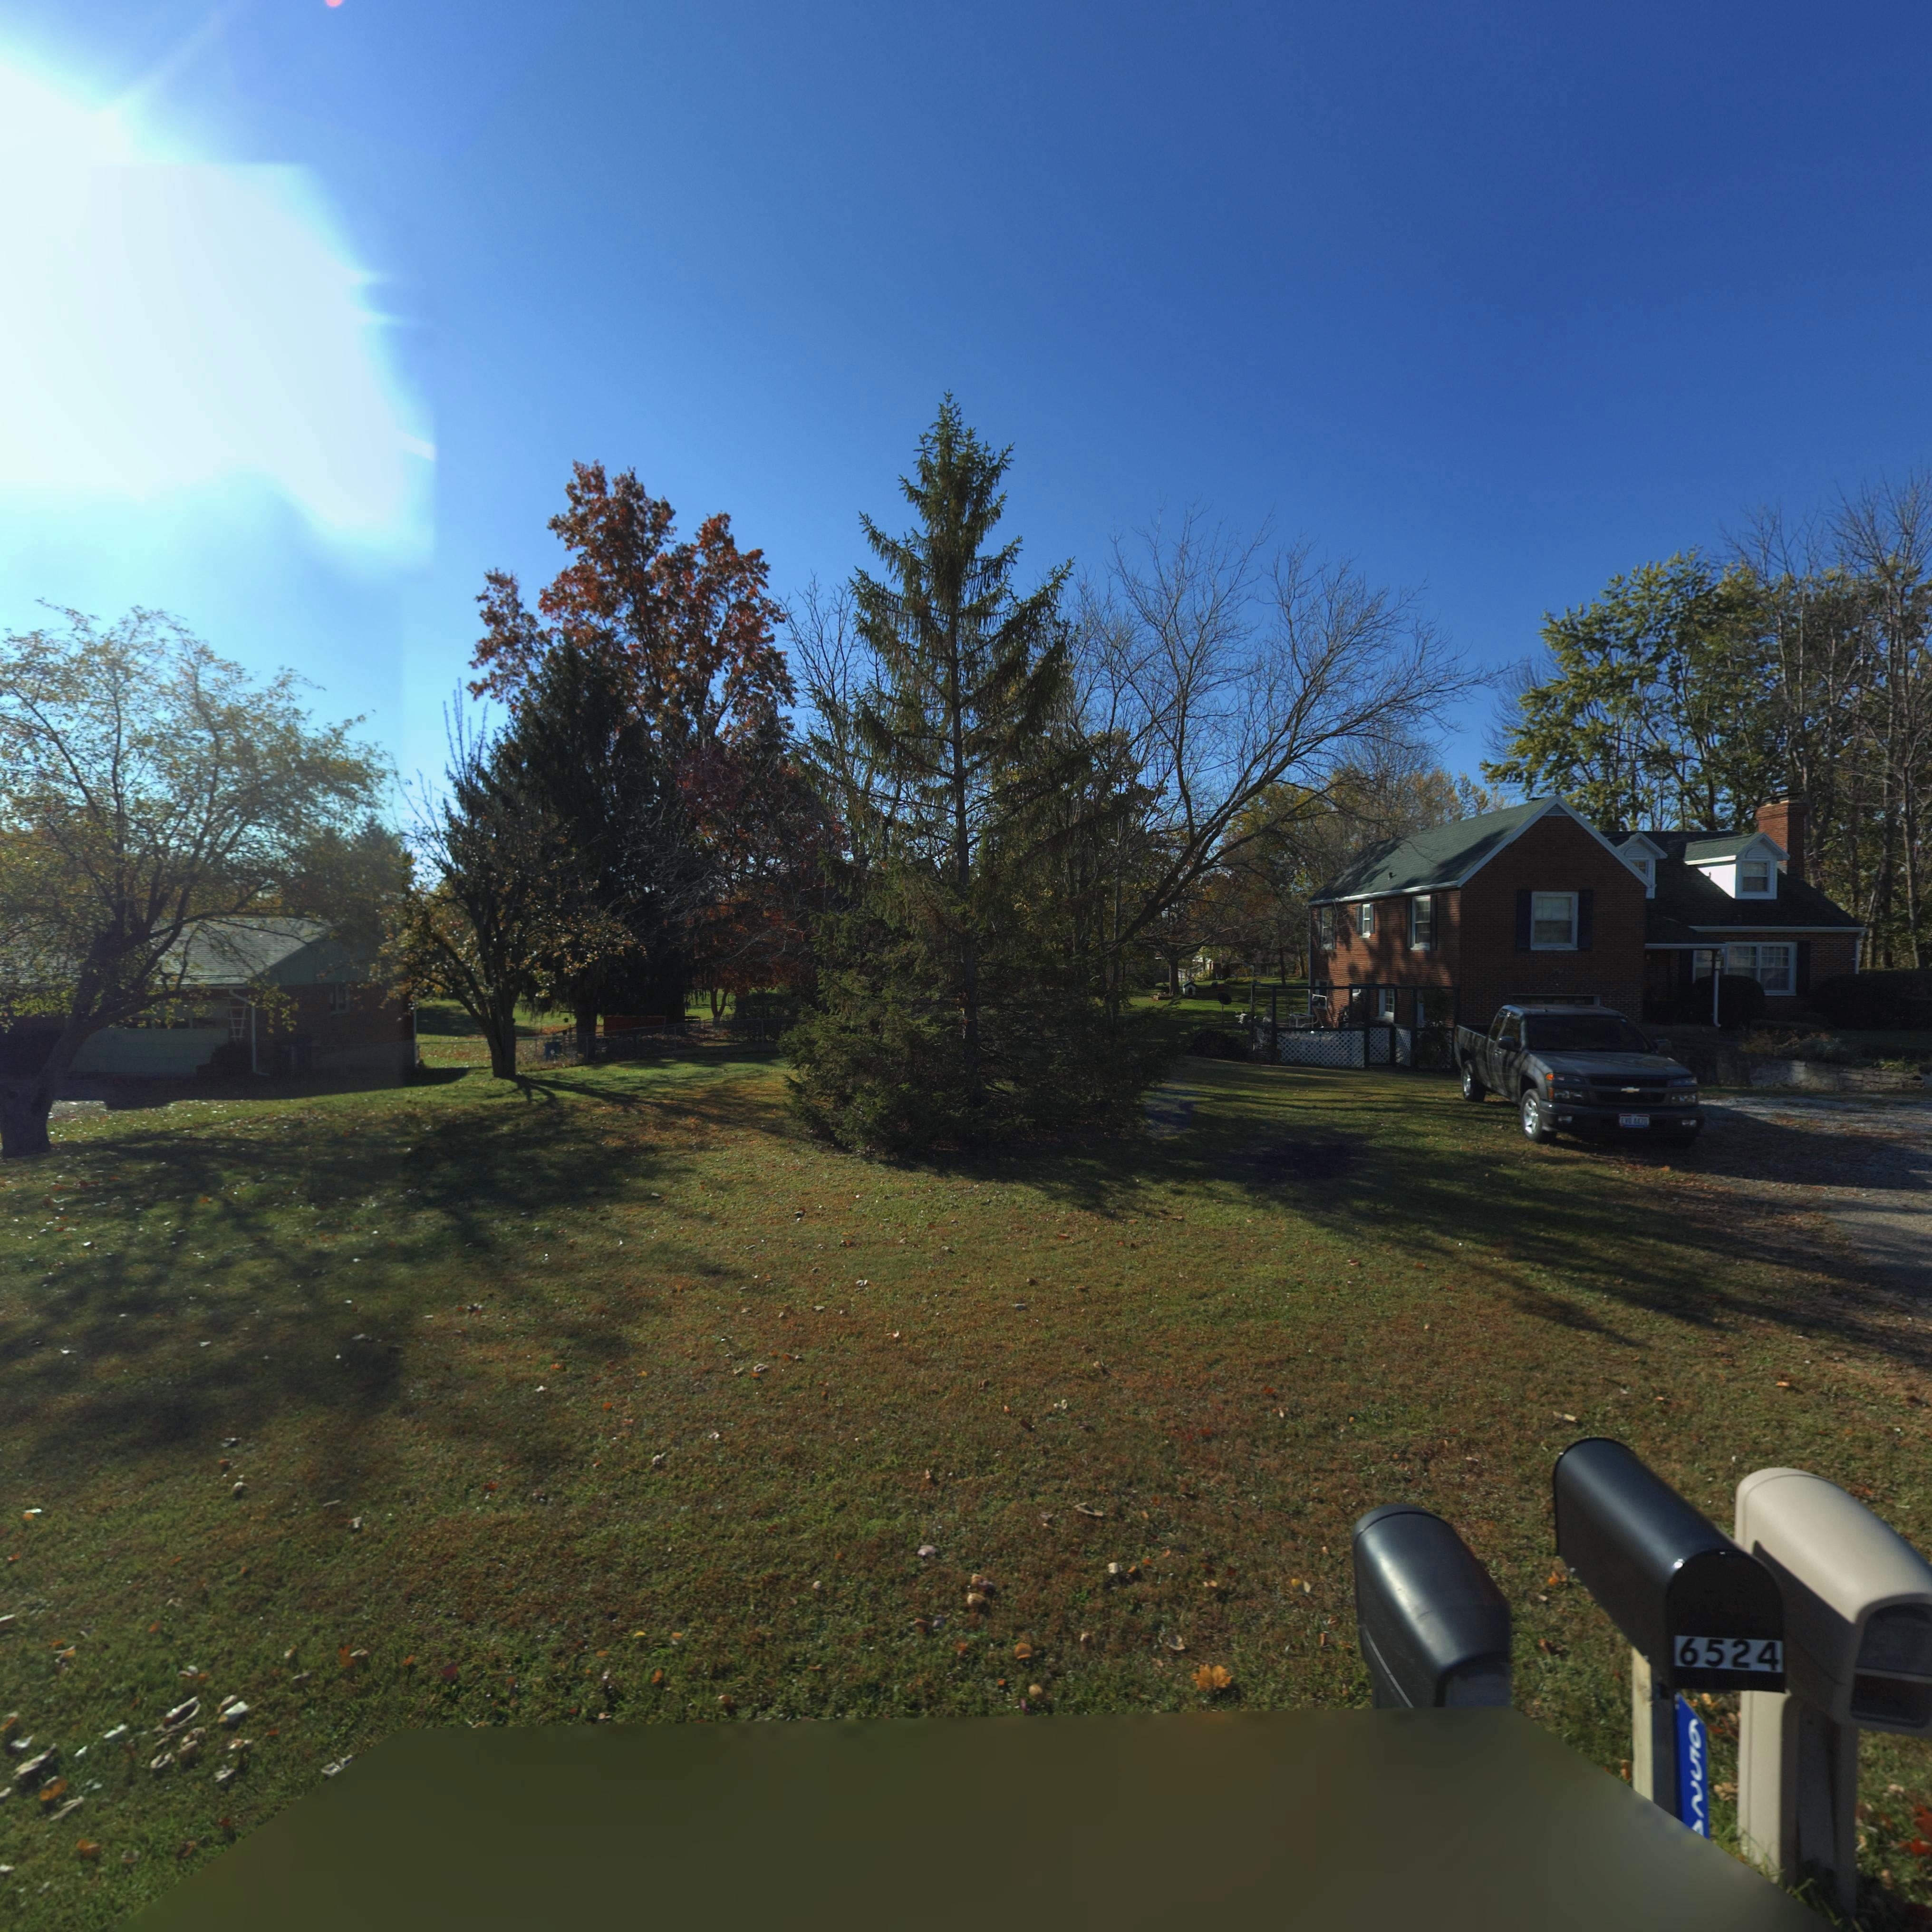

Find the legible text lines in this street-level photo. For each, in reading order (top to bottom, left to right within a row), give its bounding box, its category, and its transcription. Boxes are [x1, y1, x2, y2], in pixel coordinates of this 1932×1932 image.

[1677, 1635, 1783, 1673] StreetNumber: 6524
[1687, 1715, 1707, 1820] StreetNumber: 652